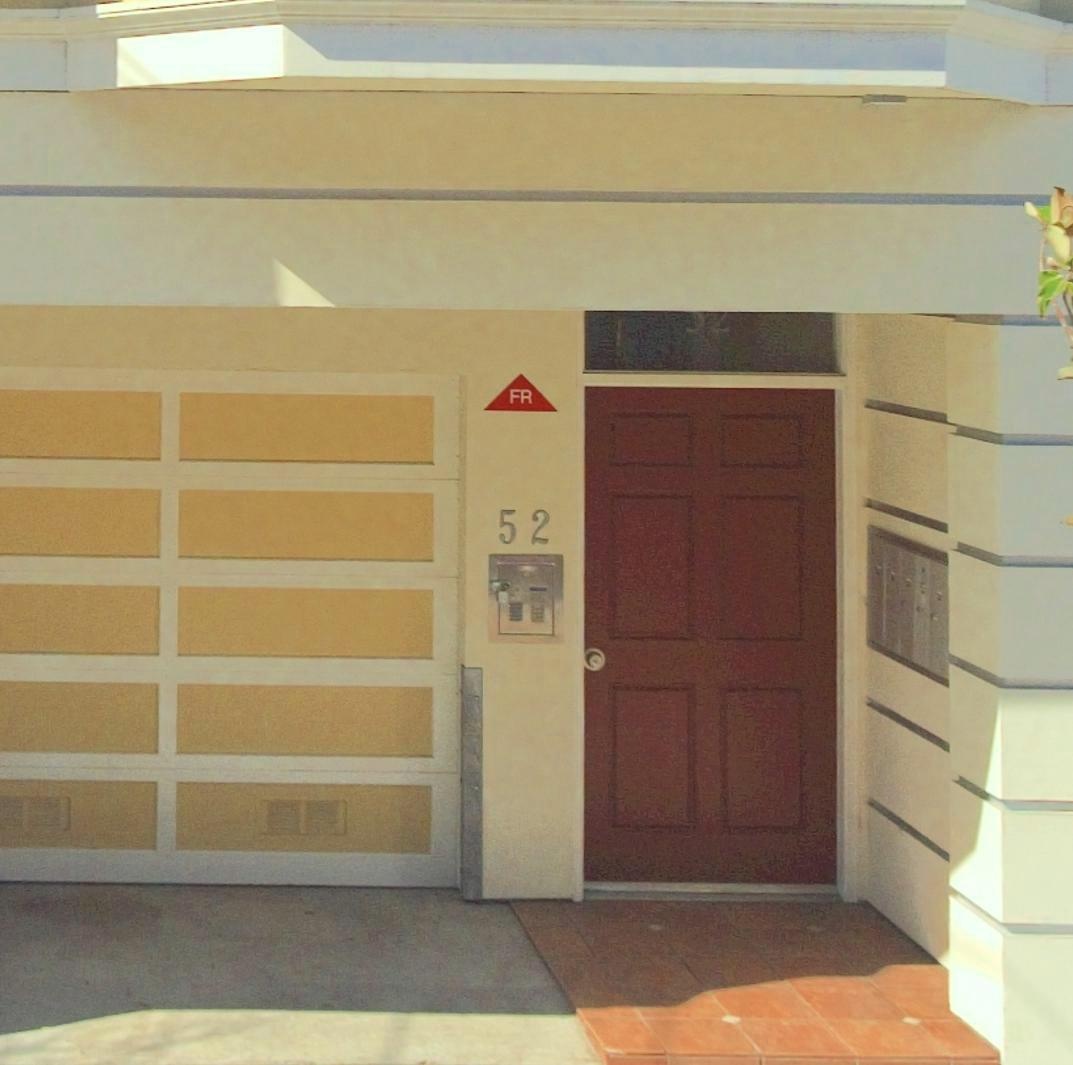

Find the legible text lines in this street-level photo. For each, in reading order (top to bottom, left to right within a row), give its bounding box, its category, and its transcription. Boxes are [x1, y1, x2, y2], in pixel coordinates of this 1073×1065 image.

[507, 386, 537, 409] None: FR
[494, 502, 555, 550] StreetNumber: 52